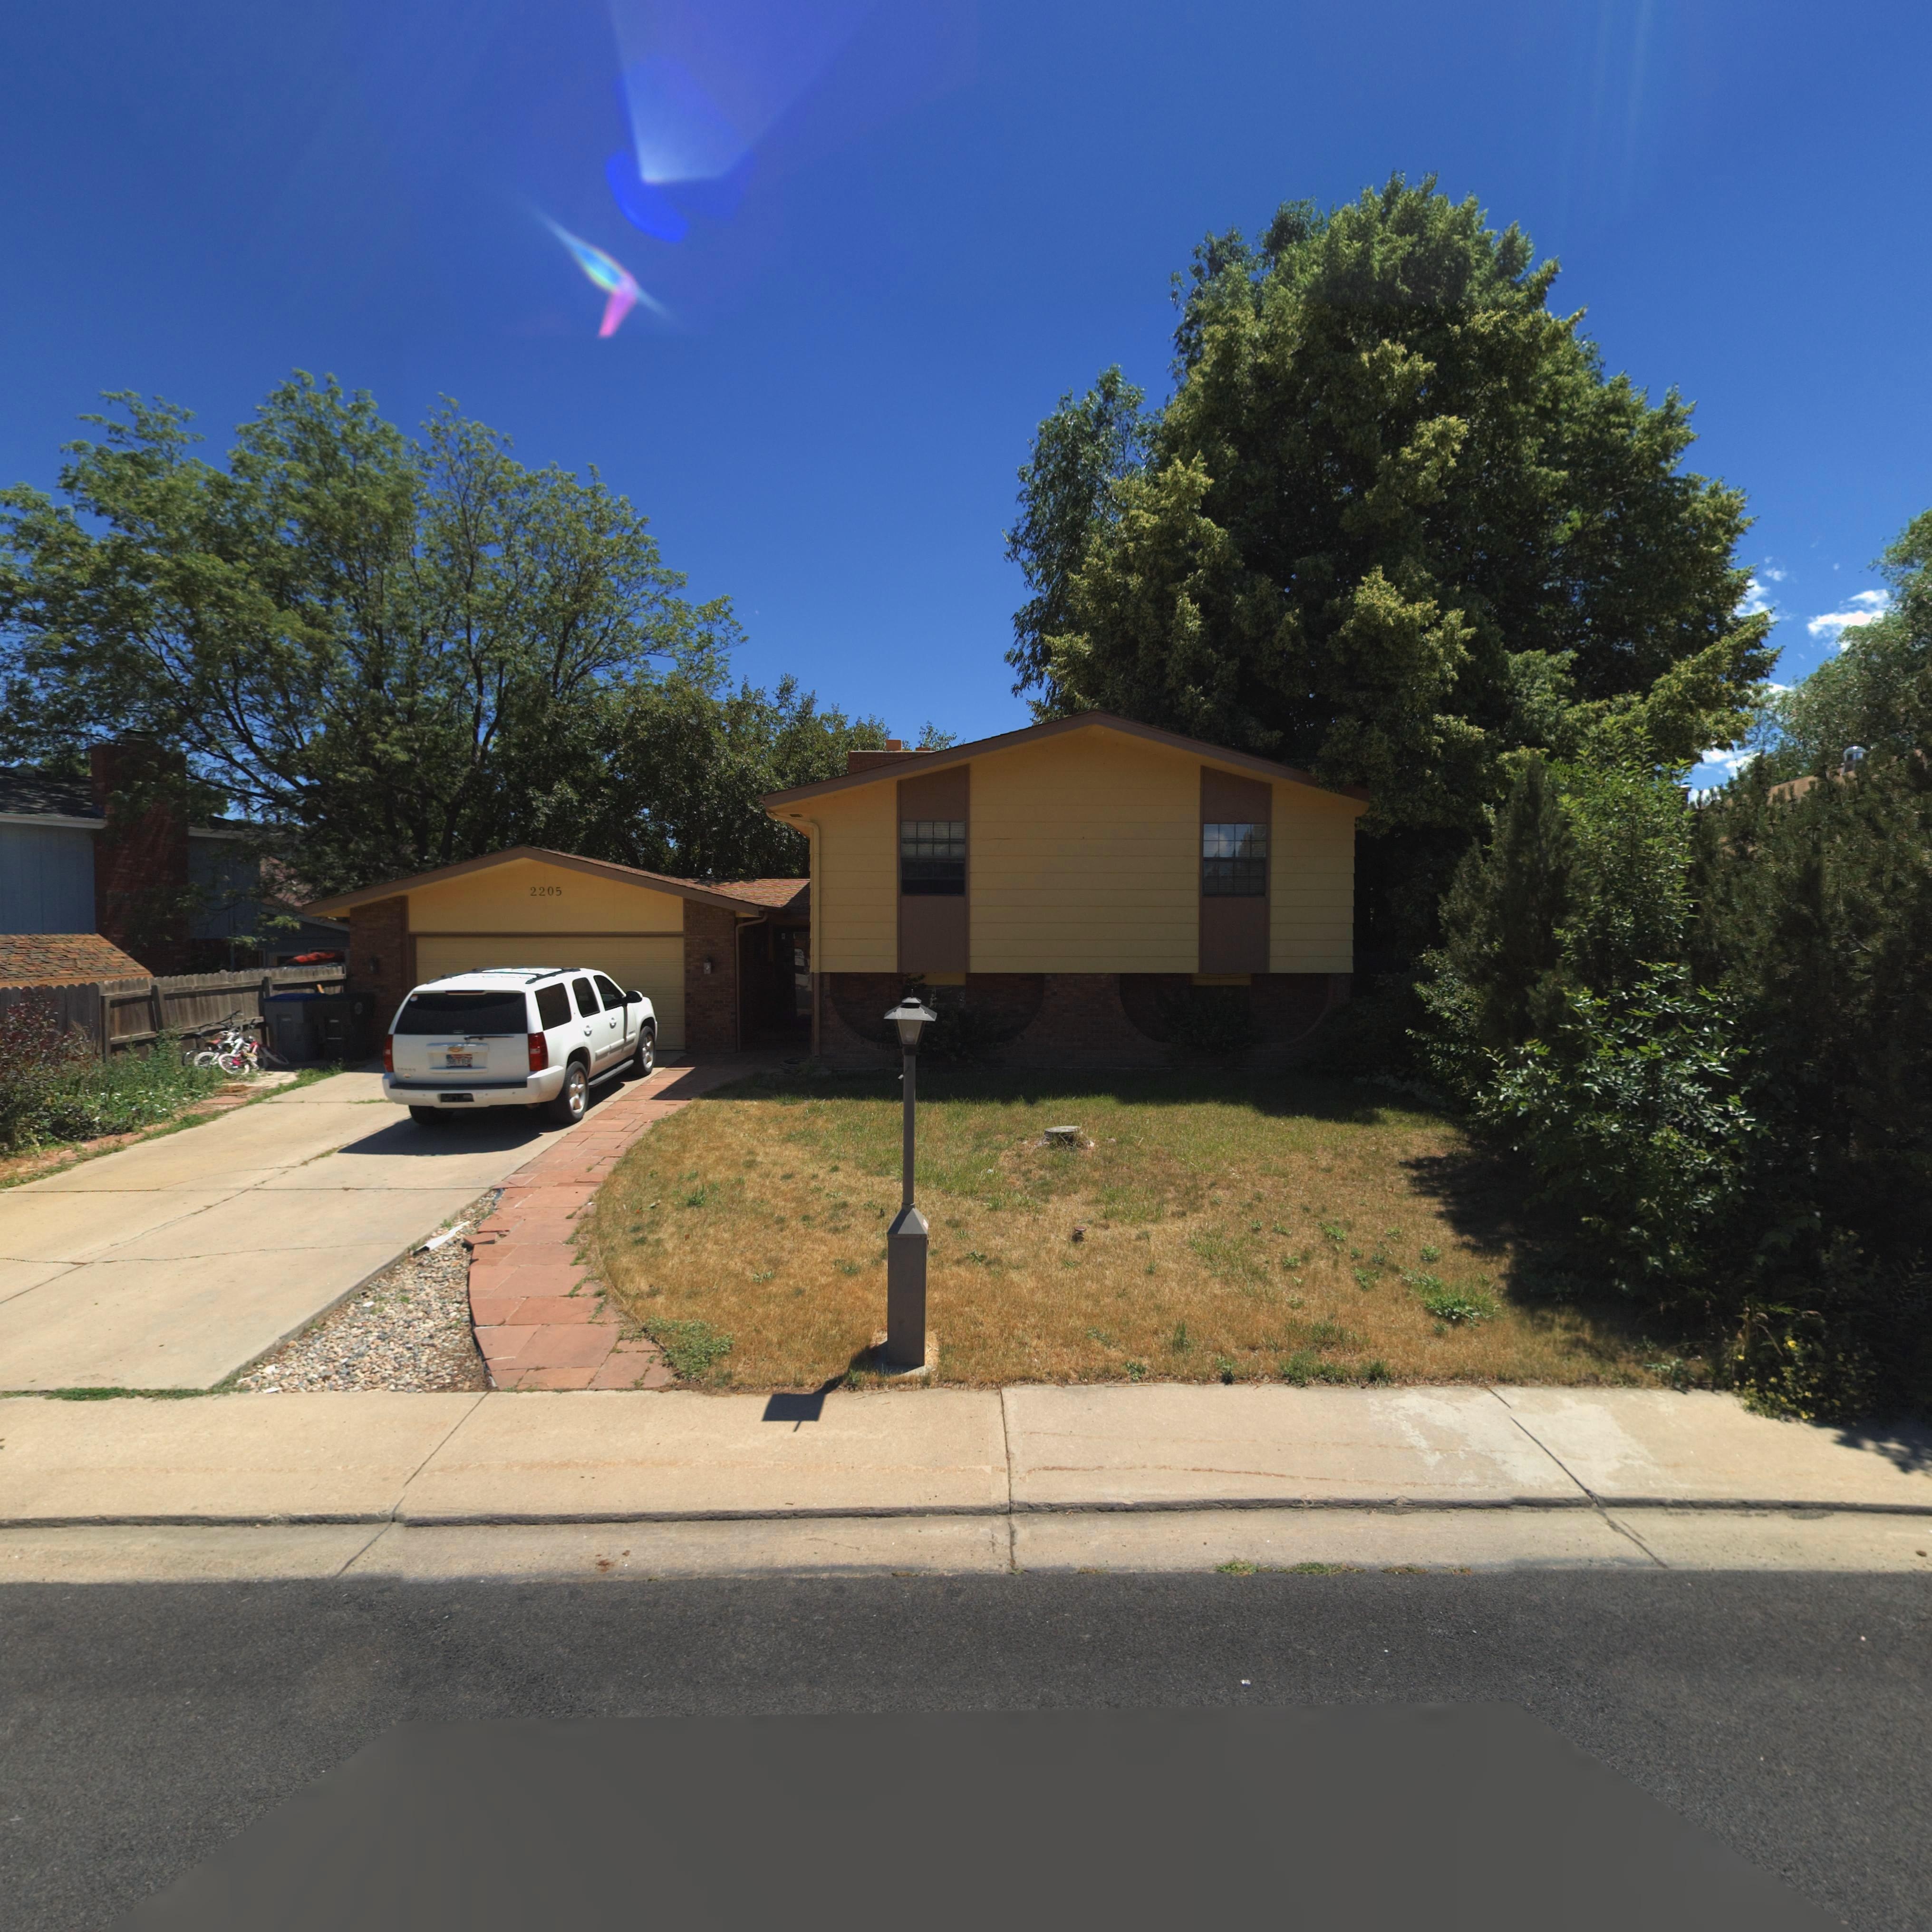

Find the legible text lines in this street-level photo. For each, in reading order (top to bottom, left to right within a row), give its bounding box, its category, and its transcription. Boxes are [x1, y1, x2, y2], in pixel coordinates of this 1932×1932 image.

[529, 885, 564, 898] StreetNumber: 2205